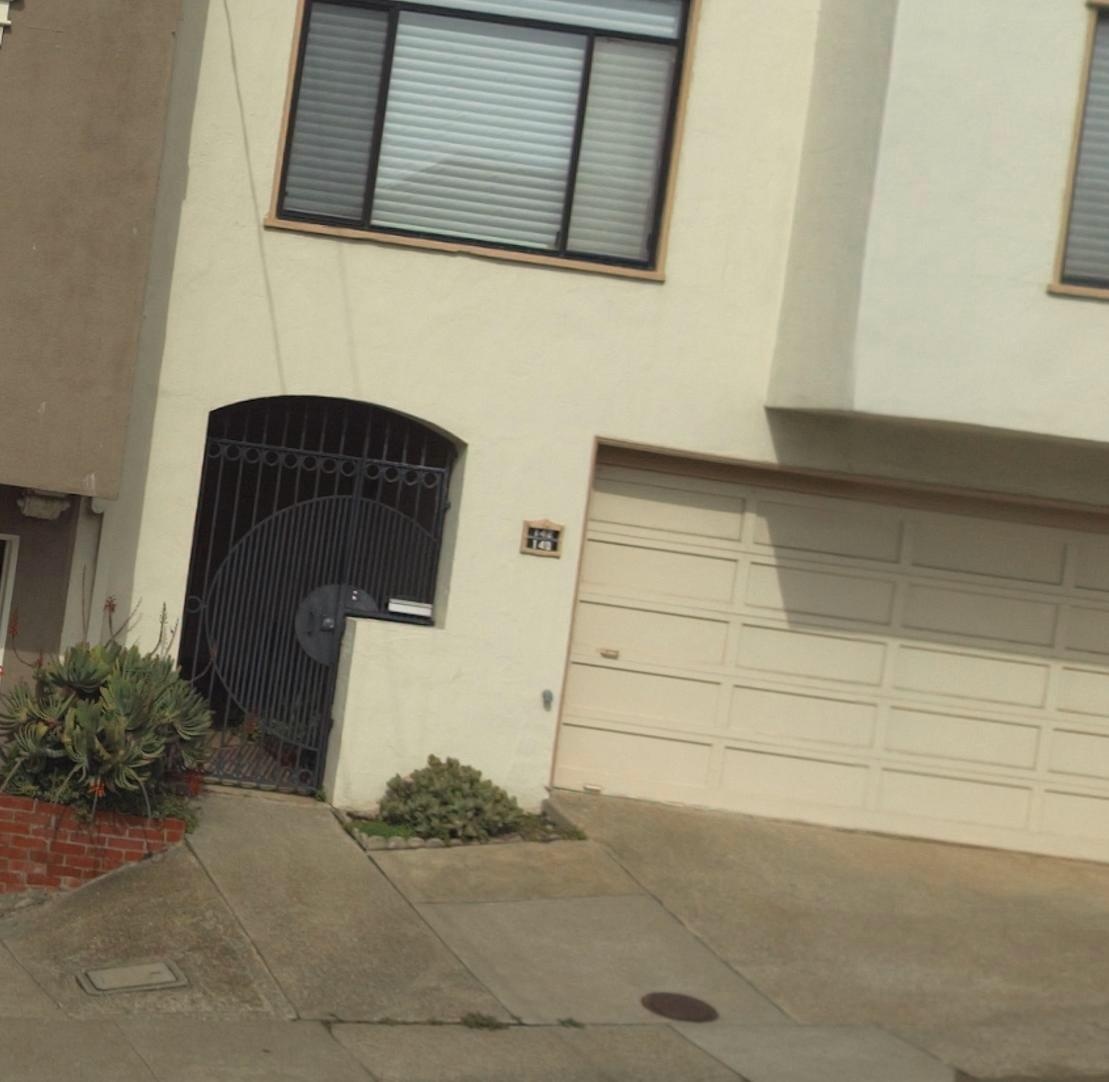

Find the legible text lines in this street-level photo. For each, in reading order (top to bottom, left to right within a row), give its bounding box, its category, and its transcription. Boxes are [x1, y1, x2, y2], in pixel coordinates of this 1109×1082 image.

[532, 528, 555, 540] StreetNumber: 142
[532, 538, 553, 552] StreetNumber: 140